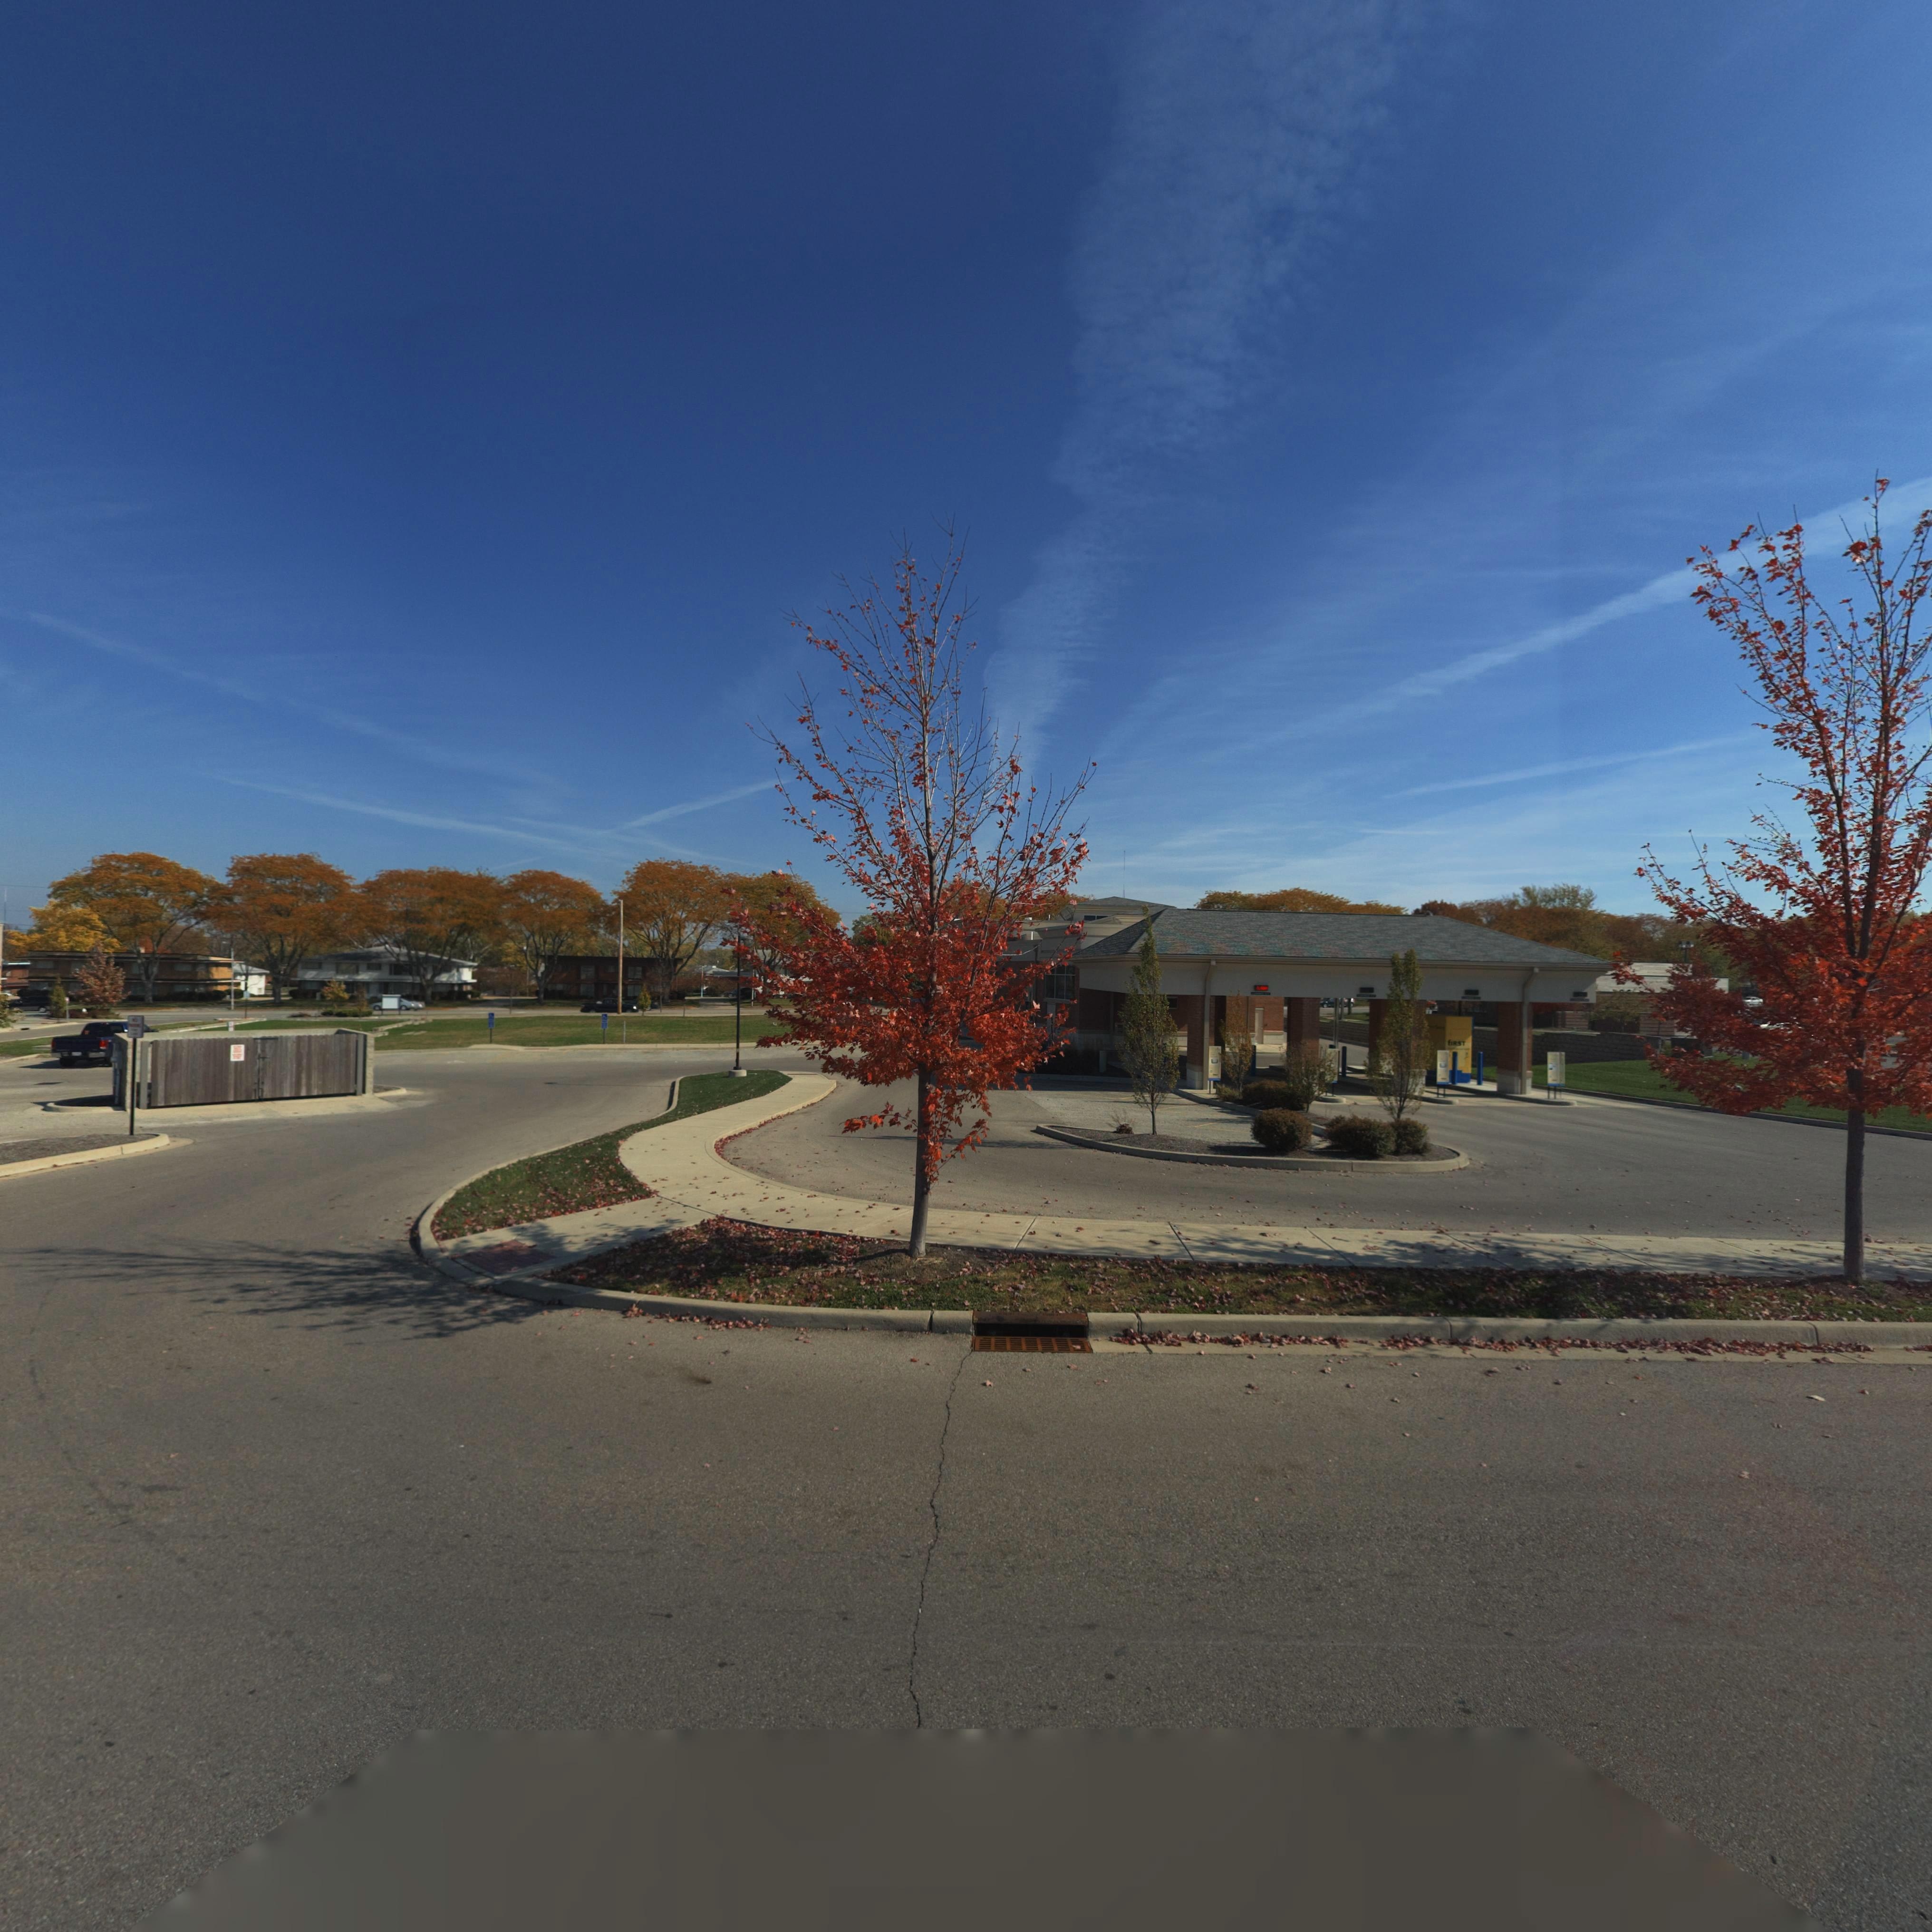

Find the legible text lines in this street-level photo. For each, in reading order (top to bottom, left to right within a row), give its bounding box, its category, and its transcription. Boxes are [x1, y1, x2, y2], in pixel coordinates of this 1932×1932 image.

[1446, 1038, 1467, 1047] BusinessName: fIRST